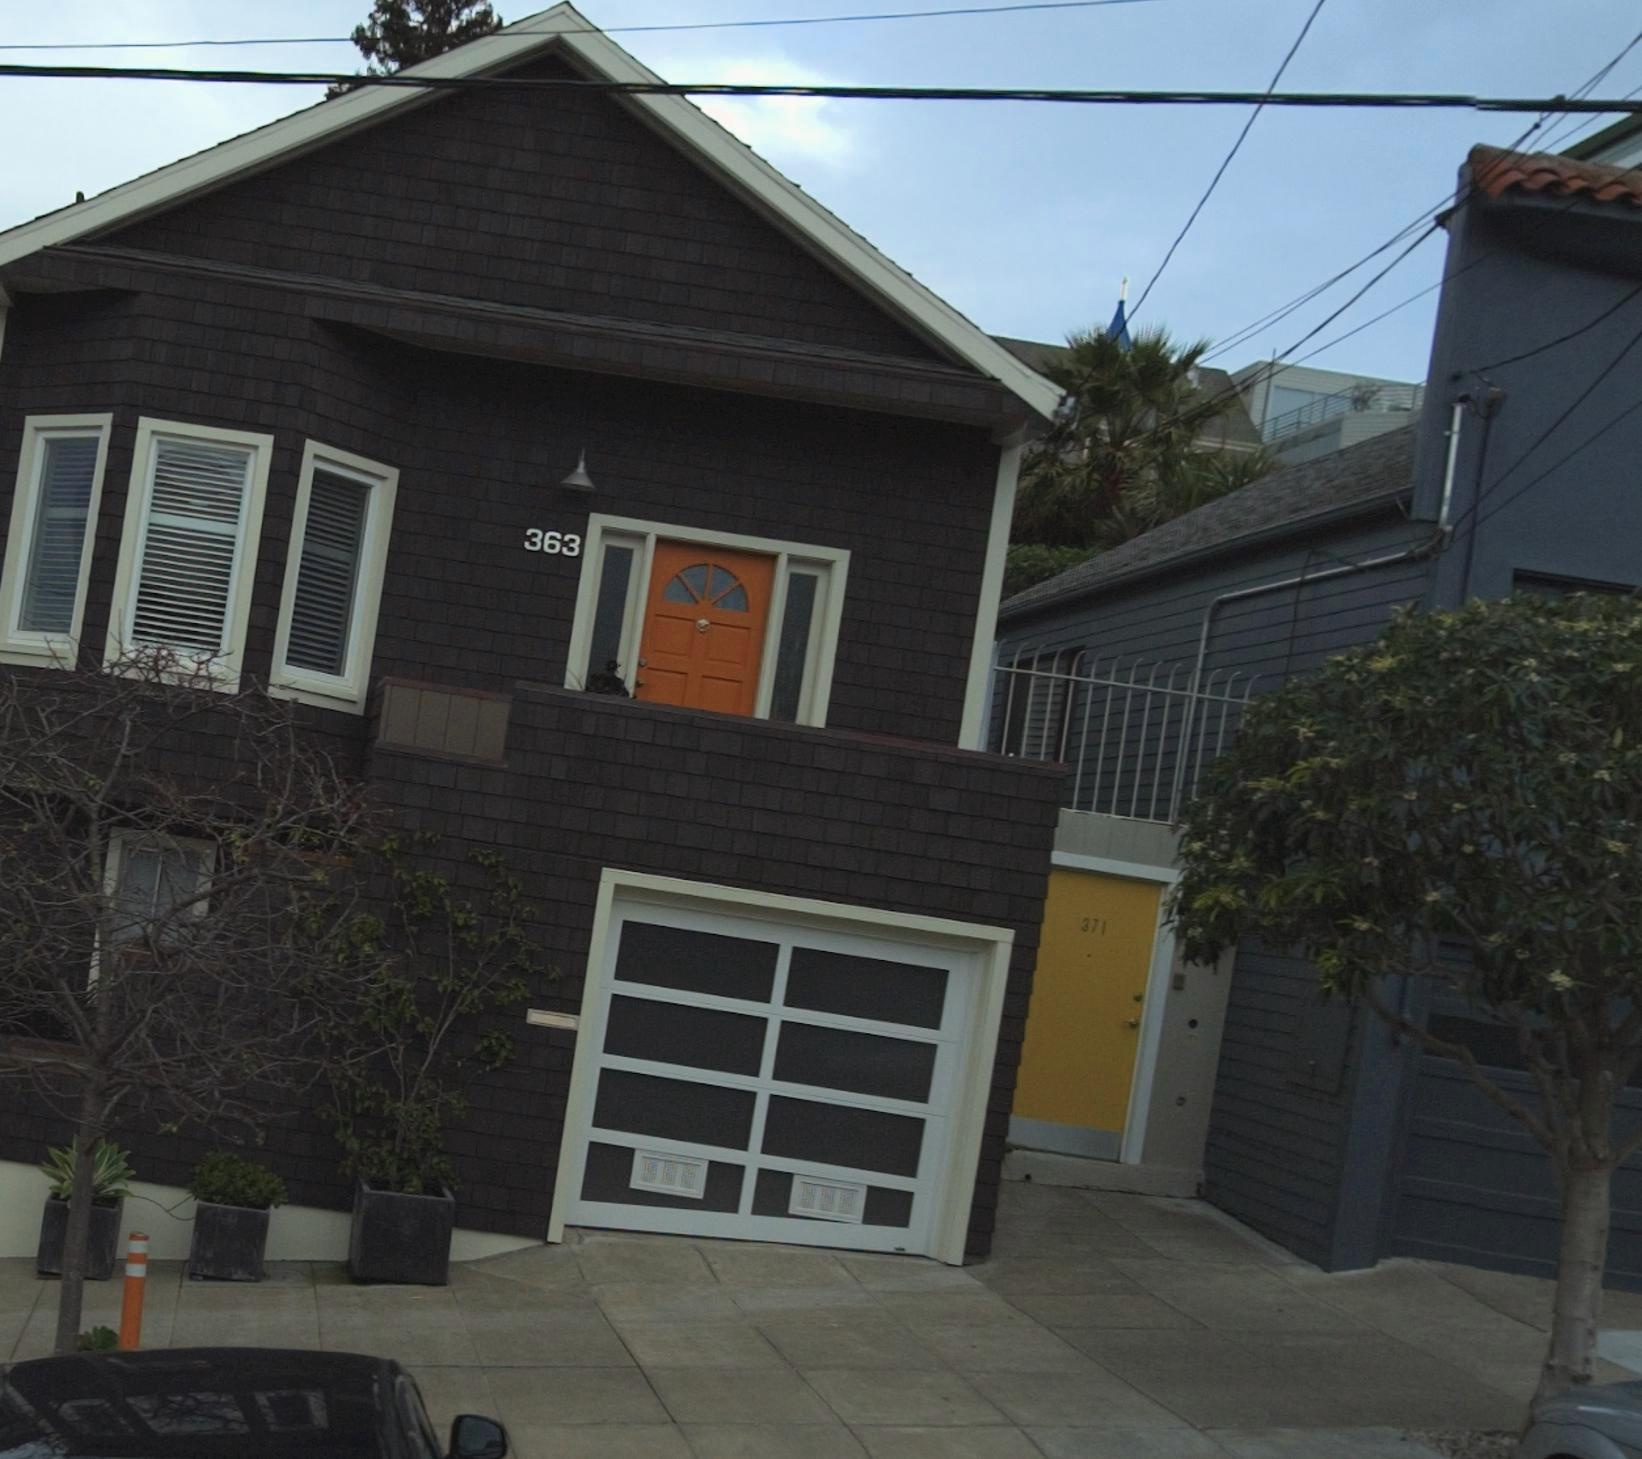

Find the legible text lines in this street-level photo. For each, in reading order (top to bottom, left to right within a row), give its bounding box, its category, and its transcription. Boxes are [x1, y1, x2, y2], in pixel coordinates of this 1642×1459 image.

[522, 526, 582, 560] StreetNumber: 363
[1080, 916, 1109, 937] StreetNumber: 371